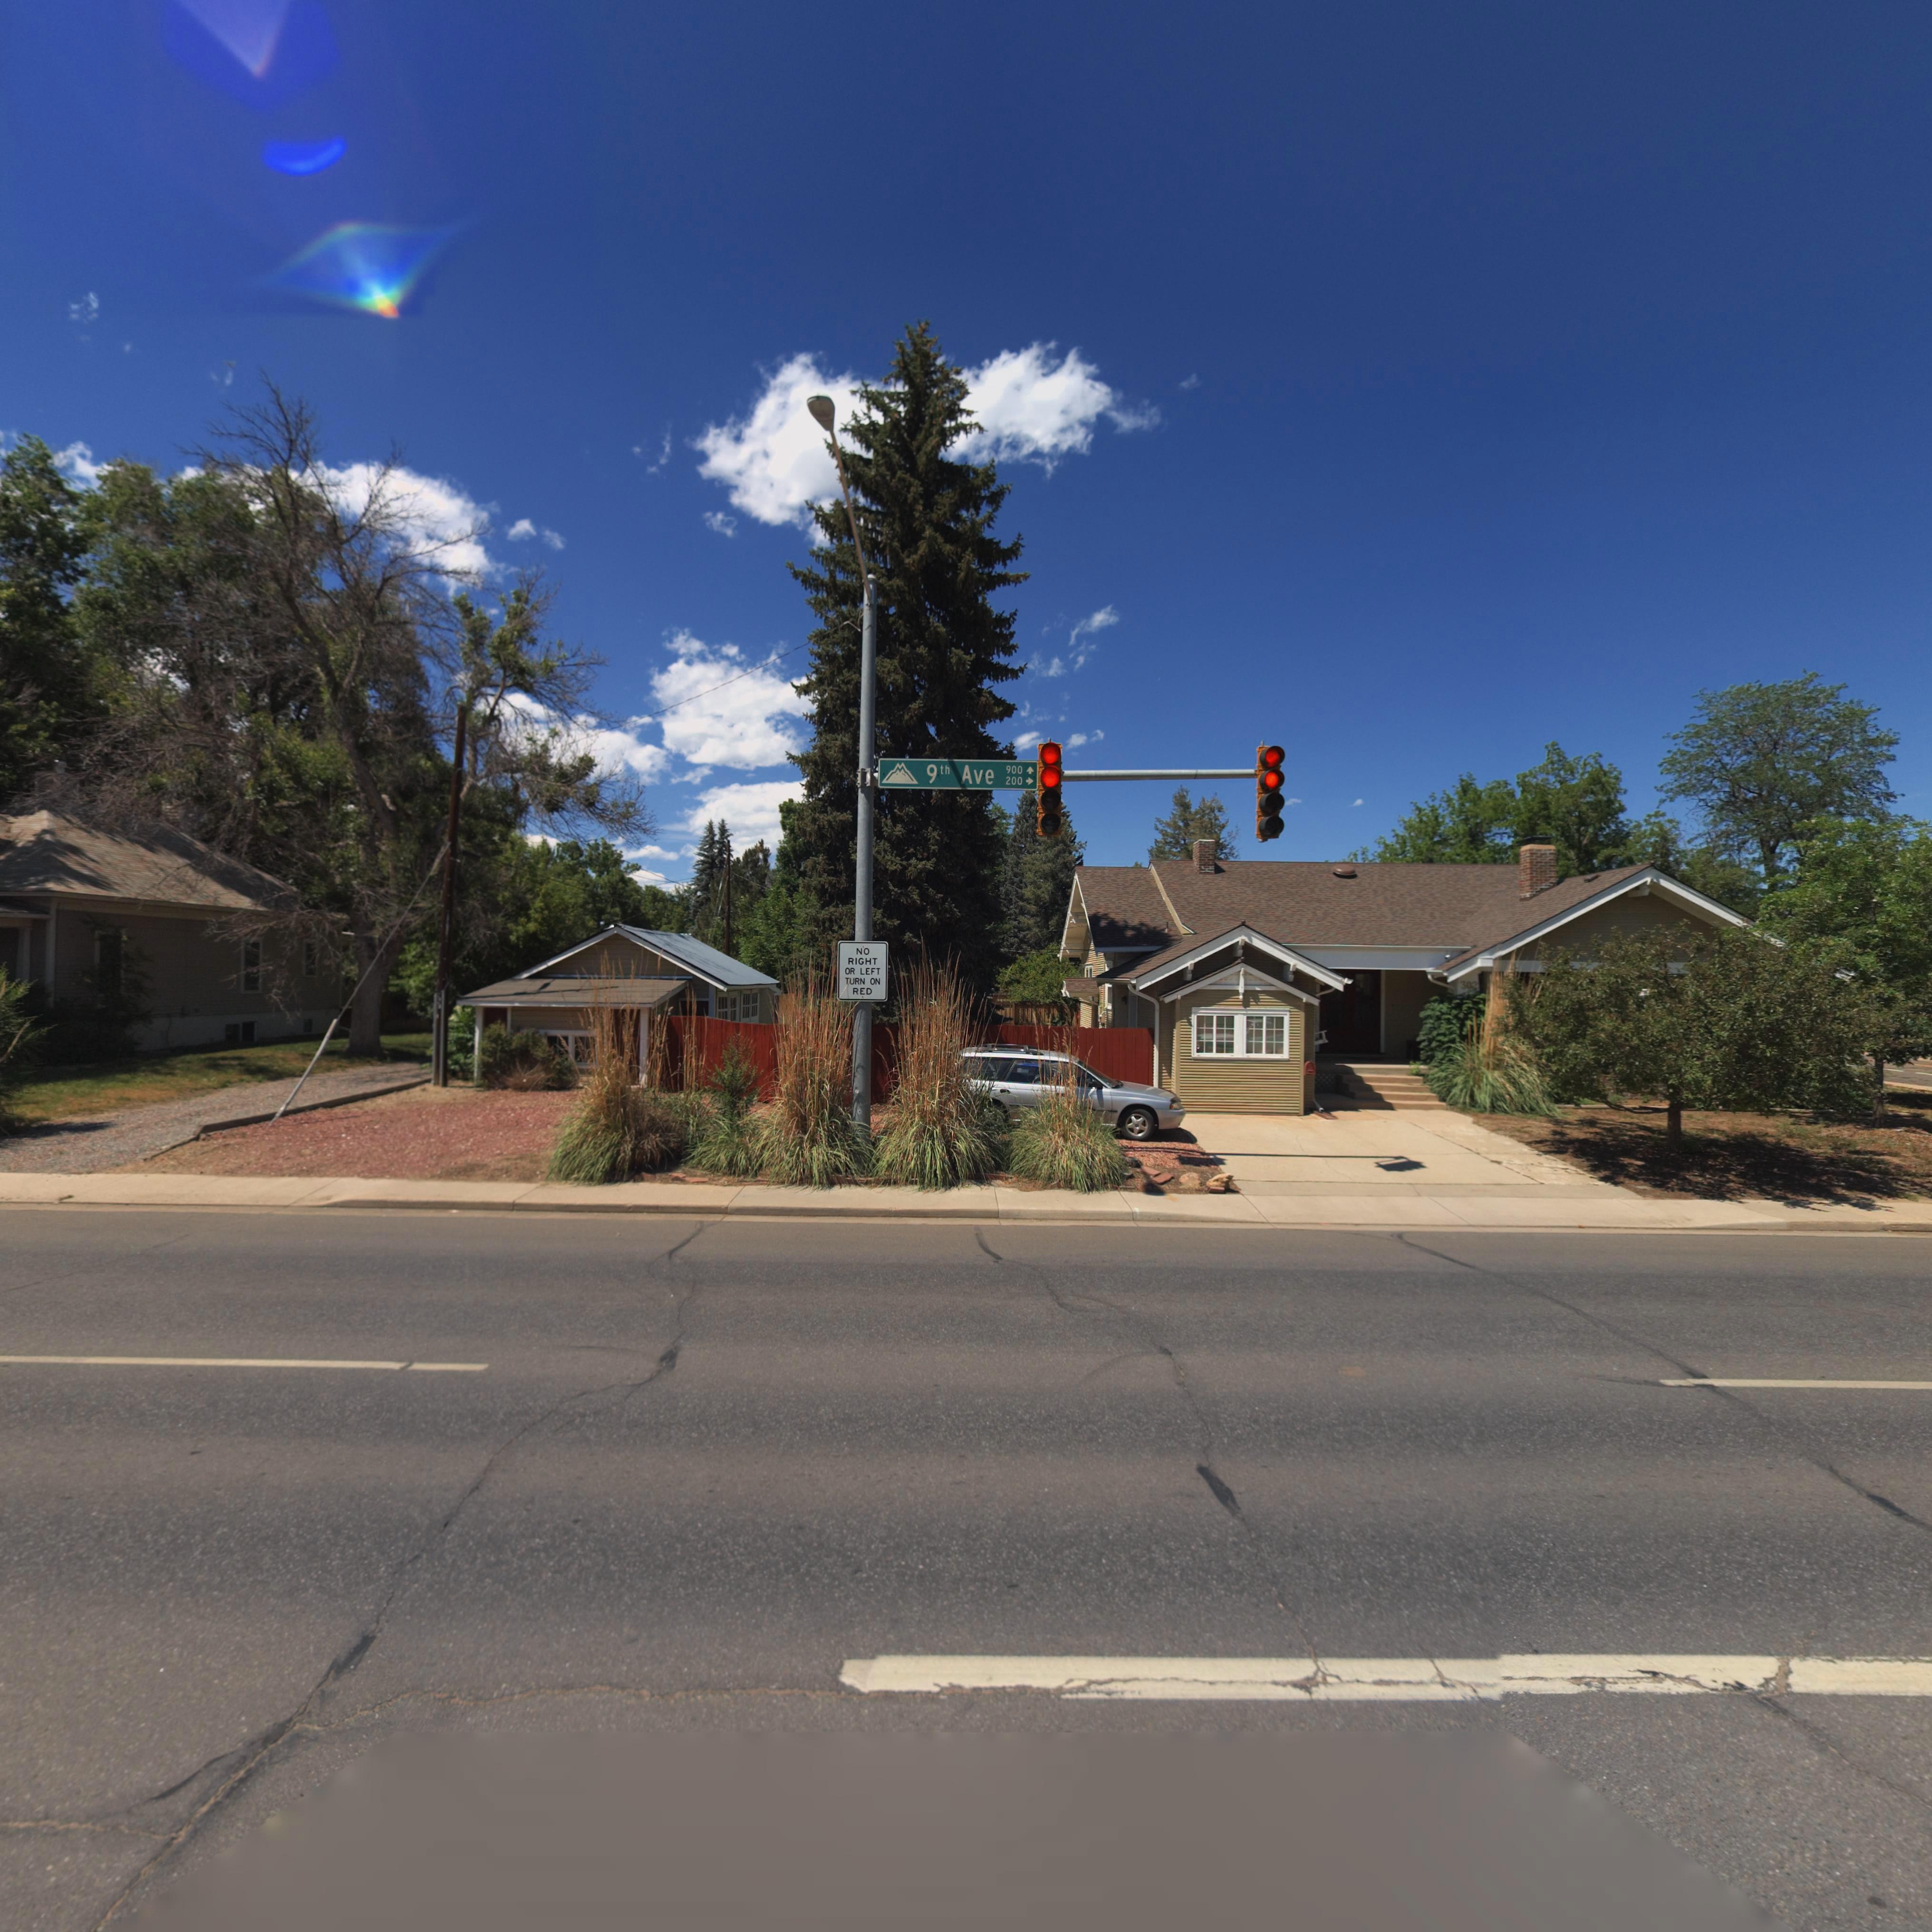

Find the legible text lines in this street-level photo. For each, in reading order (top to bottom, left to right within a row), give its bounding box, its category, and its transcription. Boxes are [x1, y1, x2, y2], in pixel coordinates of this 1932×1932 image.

[926, 763, 994, 785] StreetName: 9th Ave
[1005, 765, 1022, 774] StreetNumberRange: 900
[1005, 776, 1034, 785] StreetNumberRange: 200->
[1459, 981, 1478, 989] StreetNumber: 302